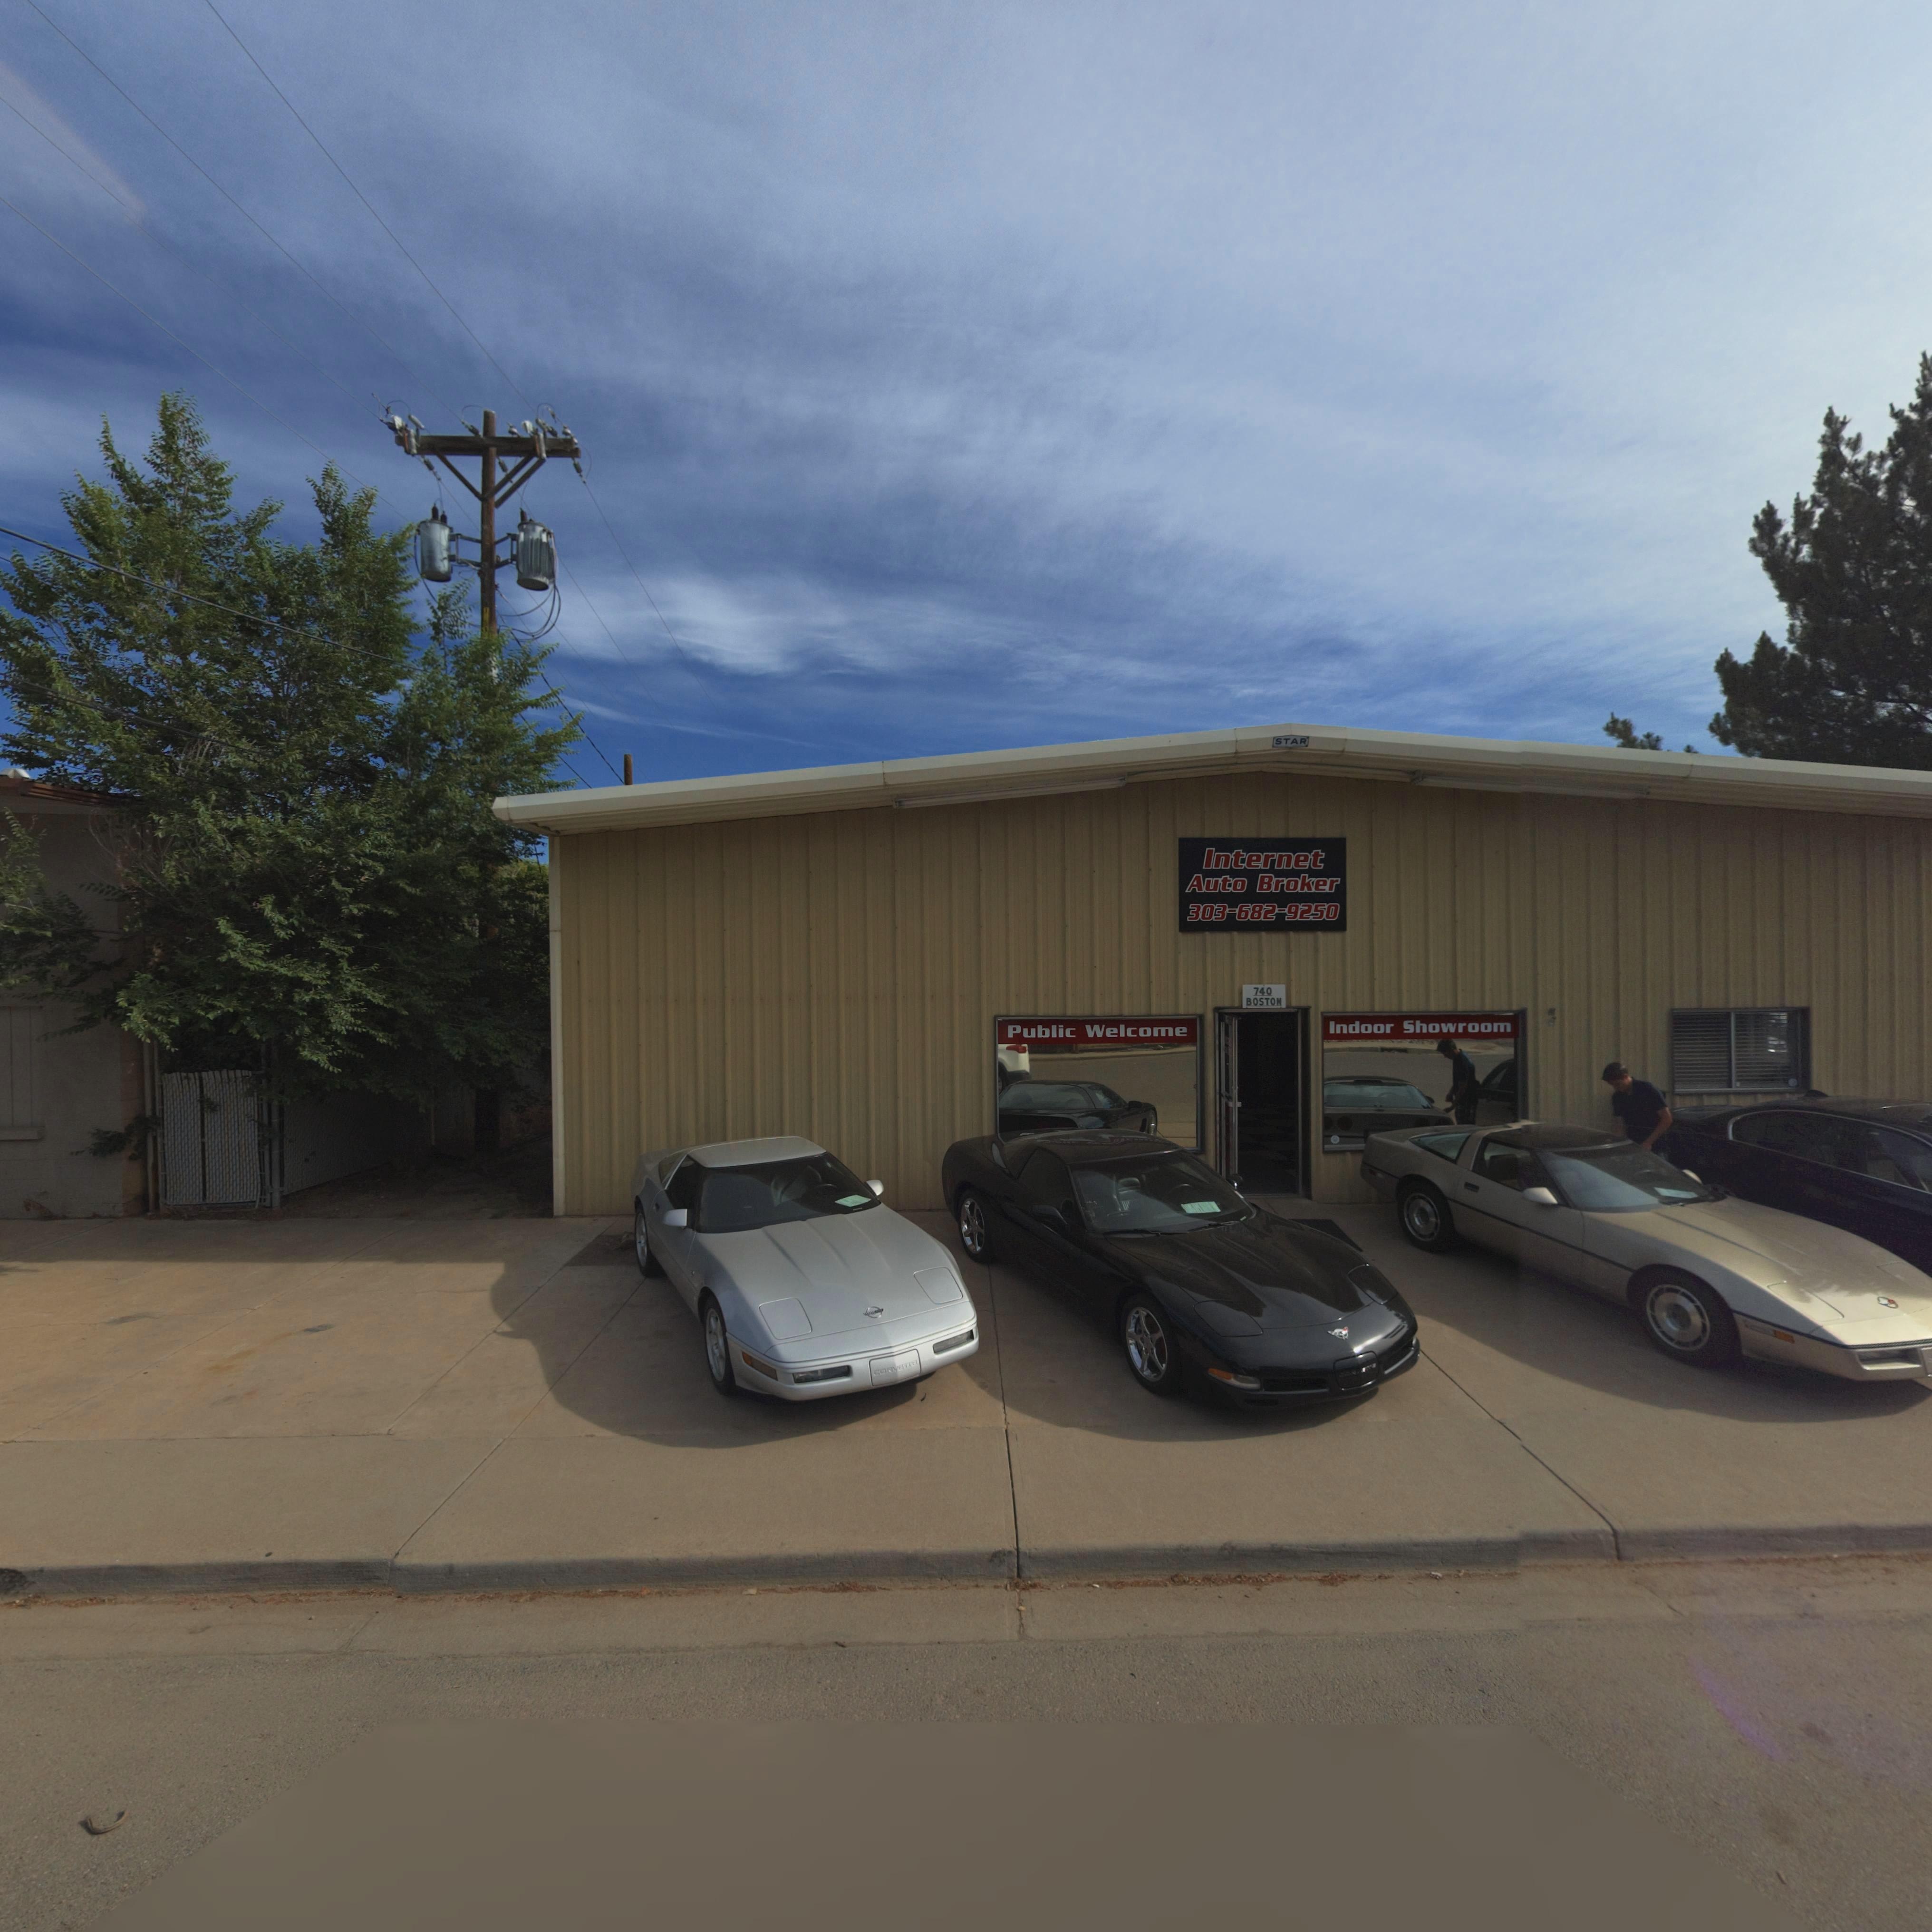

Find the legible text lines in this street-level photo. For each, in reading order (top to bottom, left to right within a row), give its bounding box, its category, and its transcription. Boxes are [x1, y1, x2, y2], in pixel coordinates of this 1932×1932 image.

[1201, 846, 1326, 869] BusinessName: Internet
[1184, 872, 1342, 893] BusinessName: Auto Broker
[1254, 987, 1272, 996] StreetNumber: 740
[1246, 996, 1282, 1006] StreetName: BOSTON